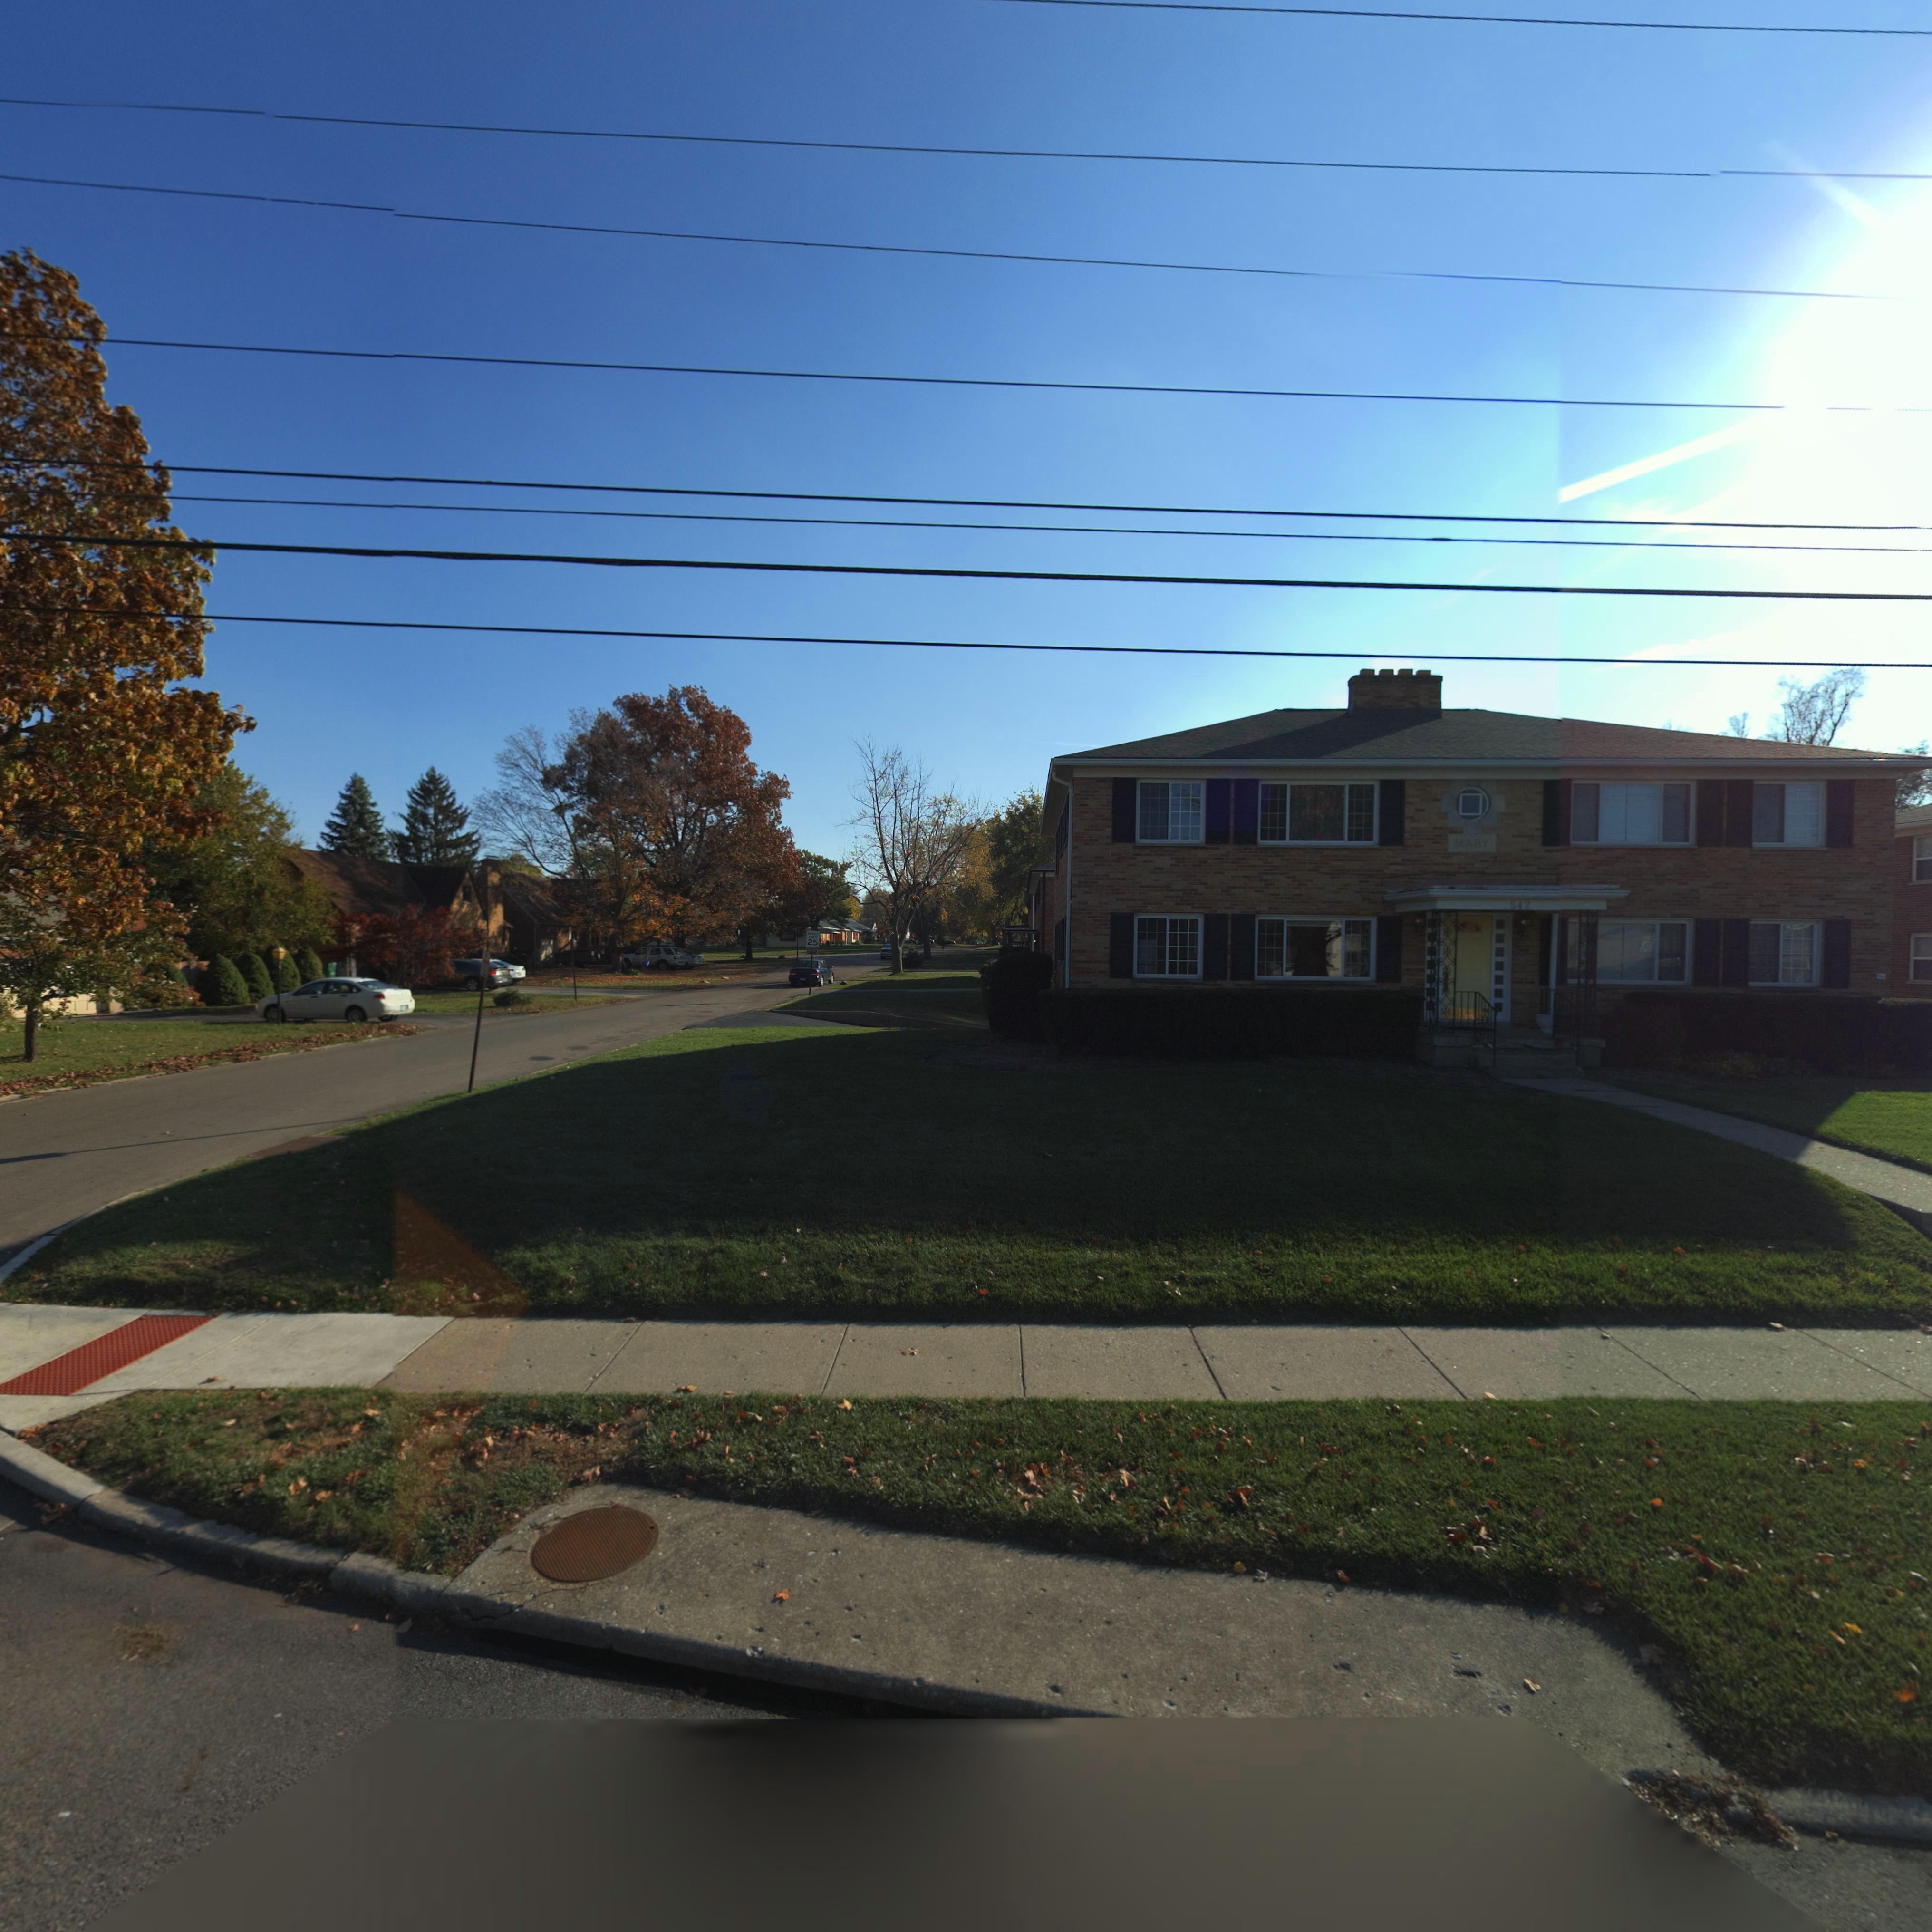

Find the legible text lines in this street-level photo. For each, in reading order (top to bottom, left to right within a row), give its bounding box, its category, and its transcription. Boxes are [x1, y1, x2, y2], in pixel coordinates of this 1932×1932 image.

[1509, 900, 1531, 910] StreetNumber: 542